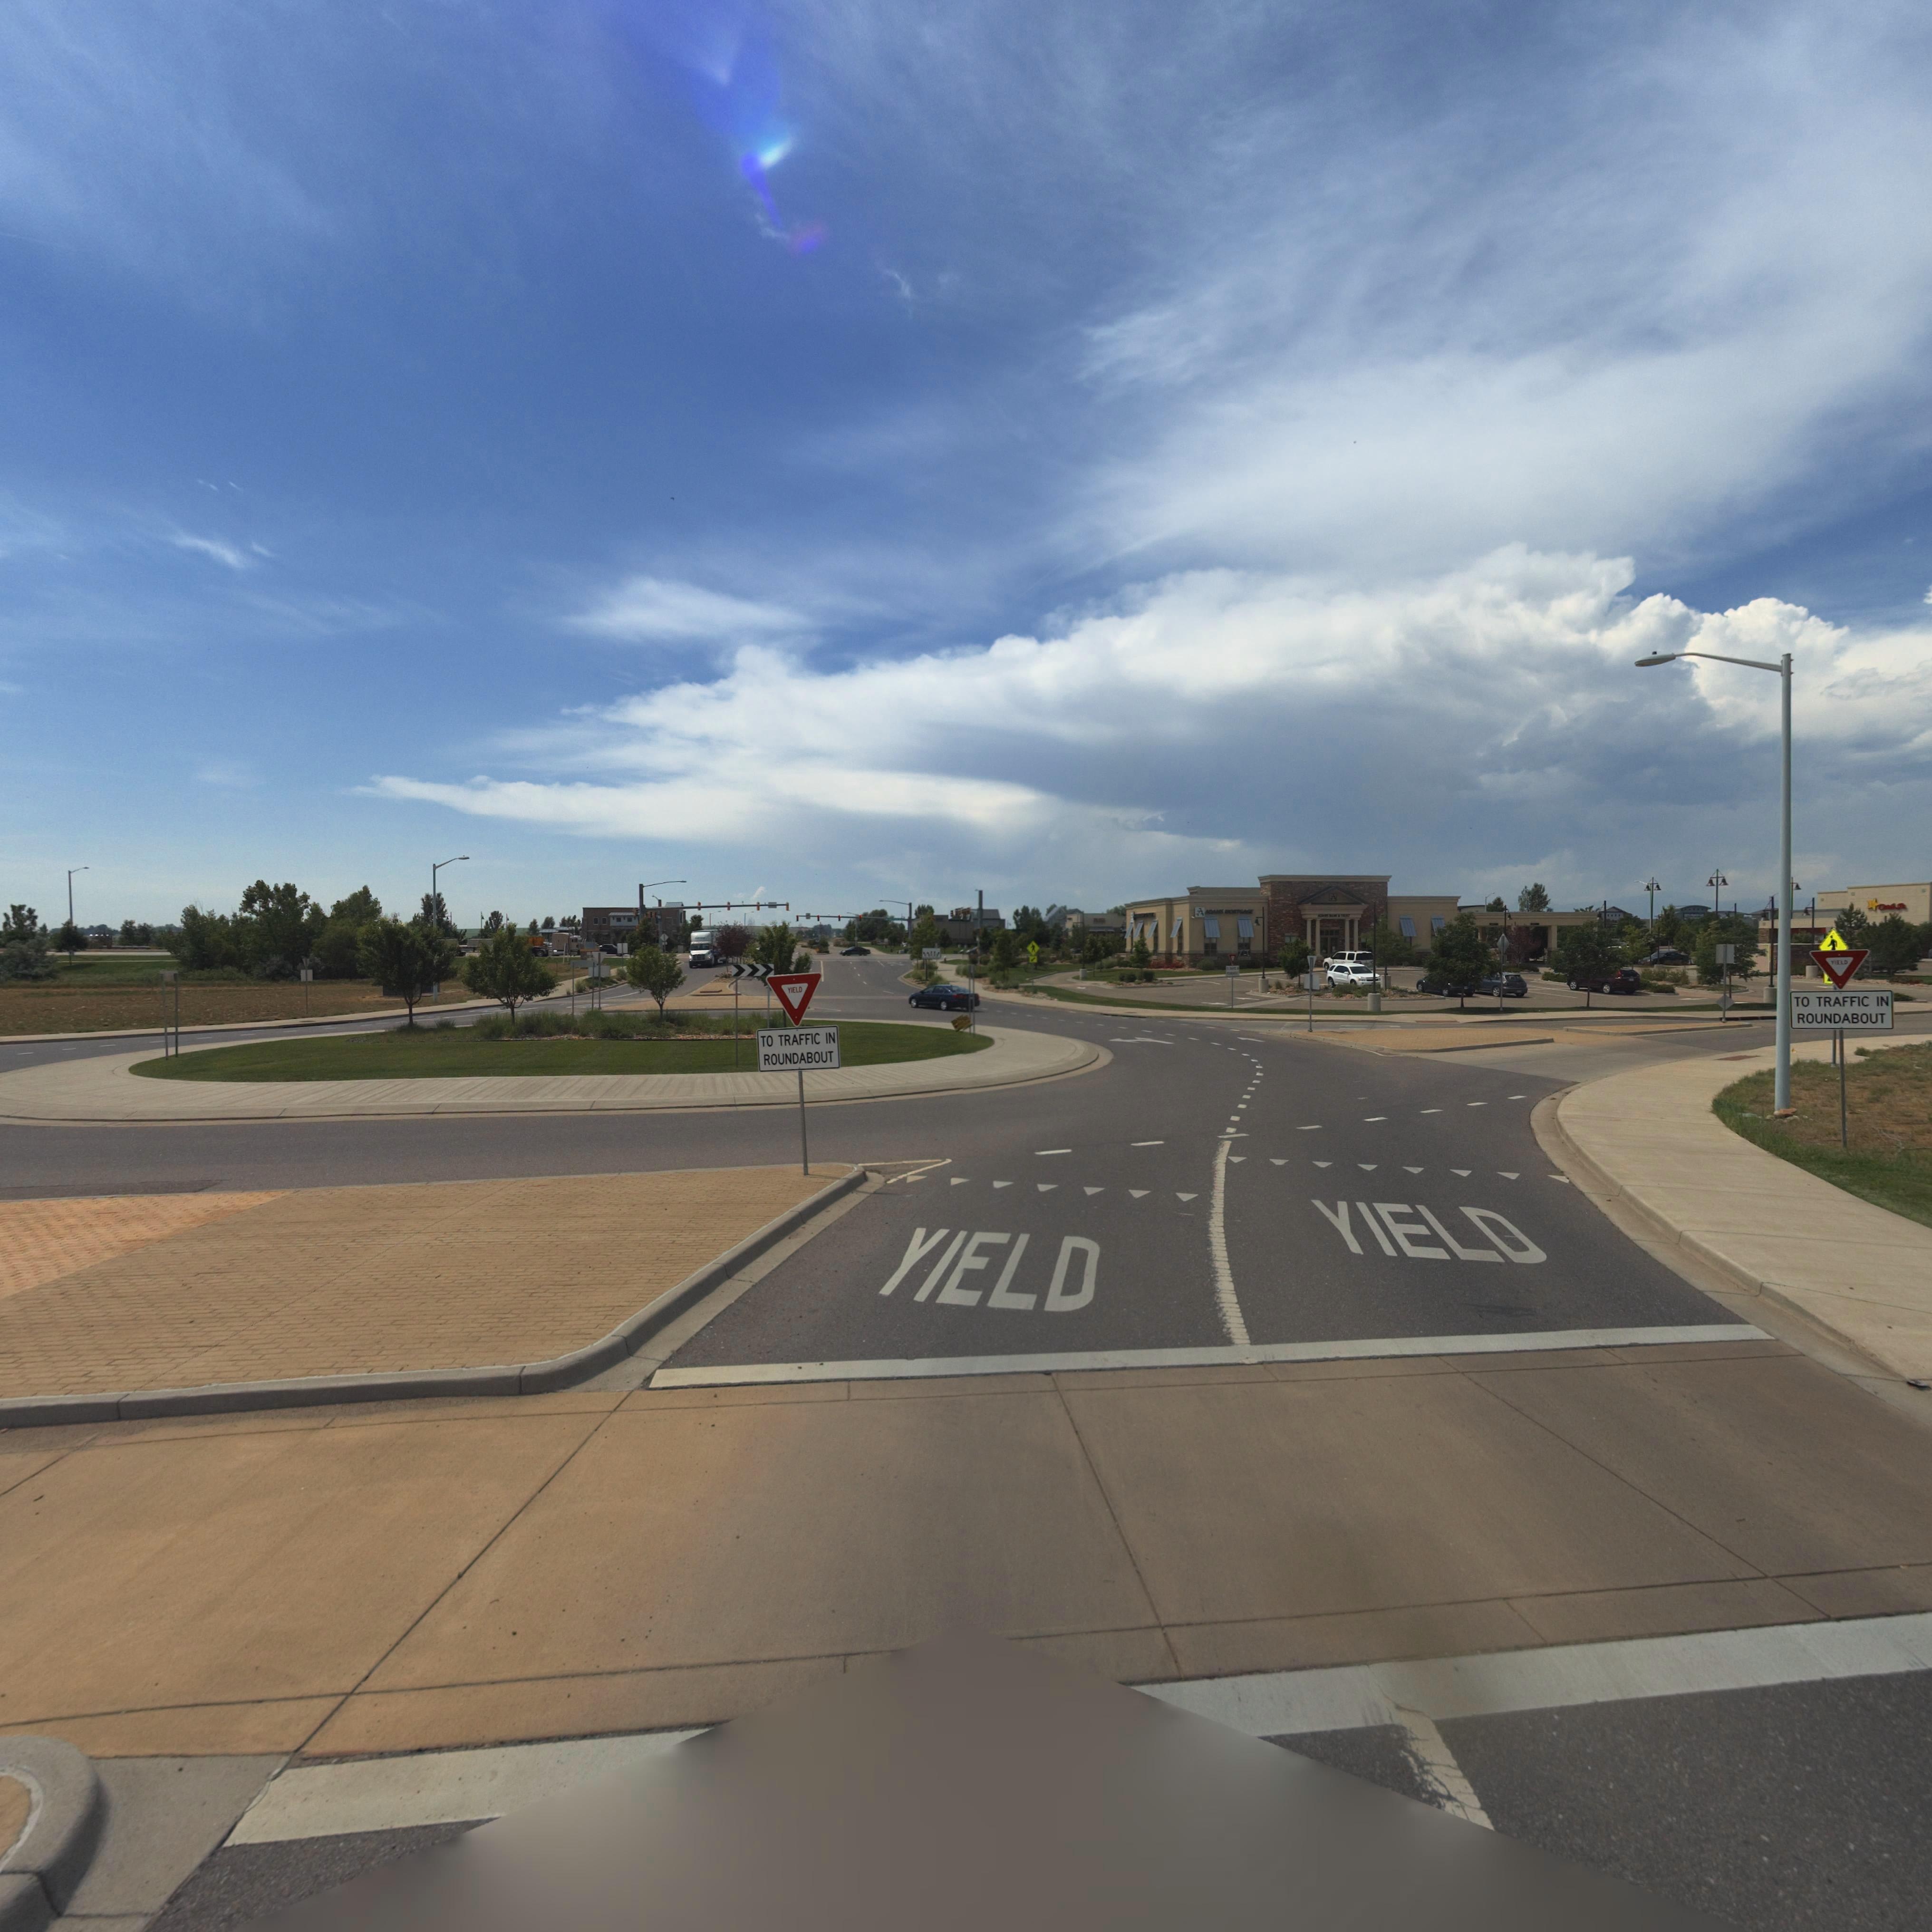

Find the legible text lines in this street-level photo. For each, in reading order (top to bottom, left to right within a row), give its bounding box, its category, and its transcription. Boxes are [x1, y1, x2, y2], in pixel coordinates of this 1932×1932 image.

[1204, 909, 1254, 914] BusinessName: ADAMS MORTGAGE